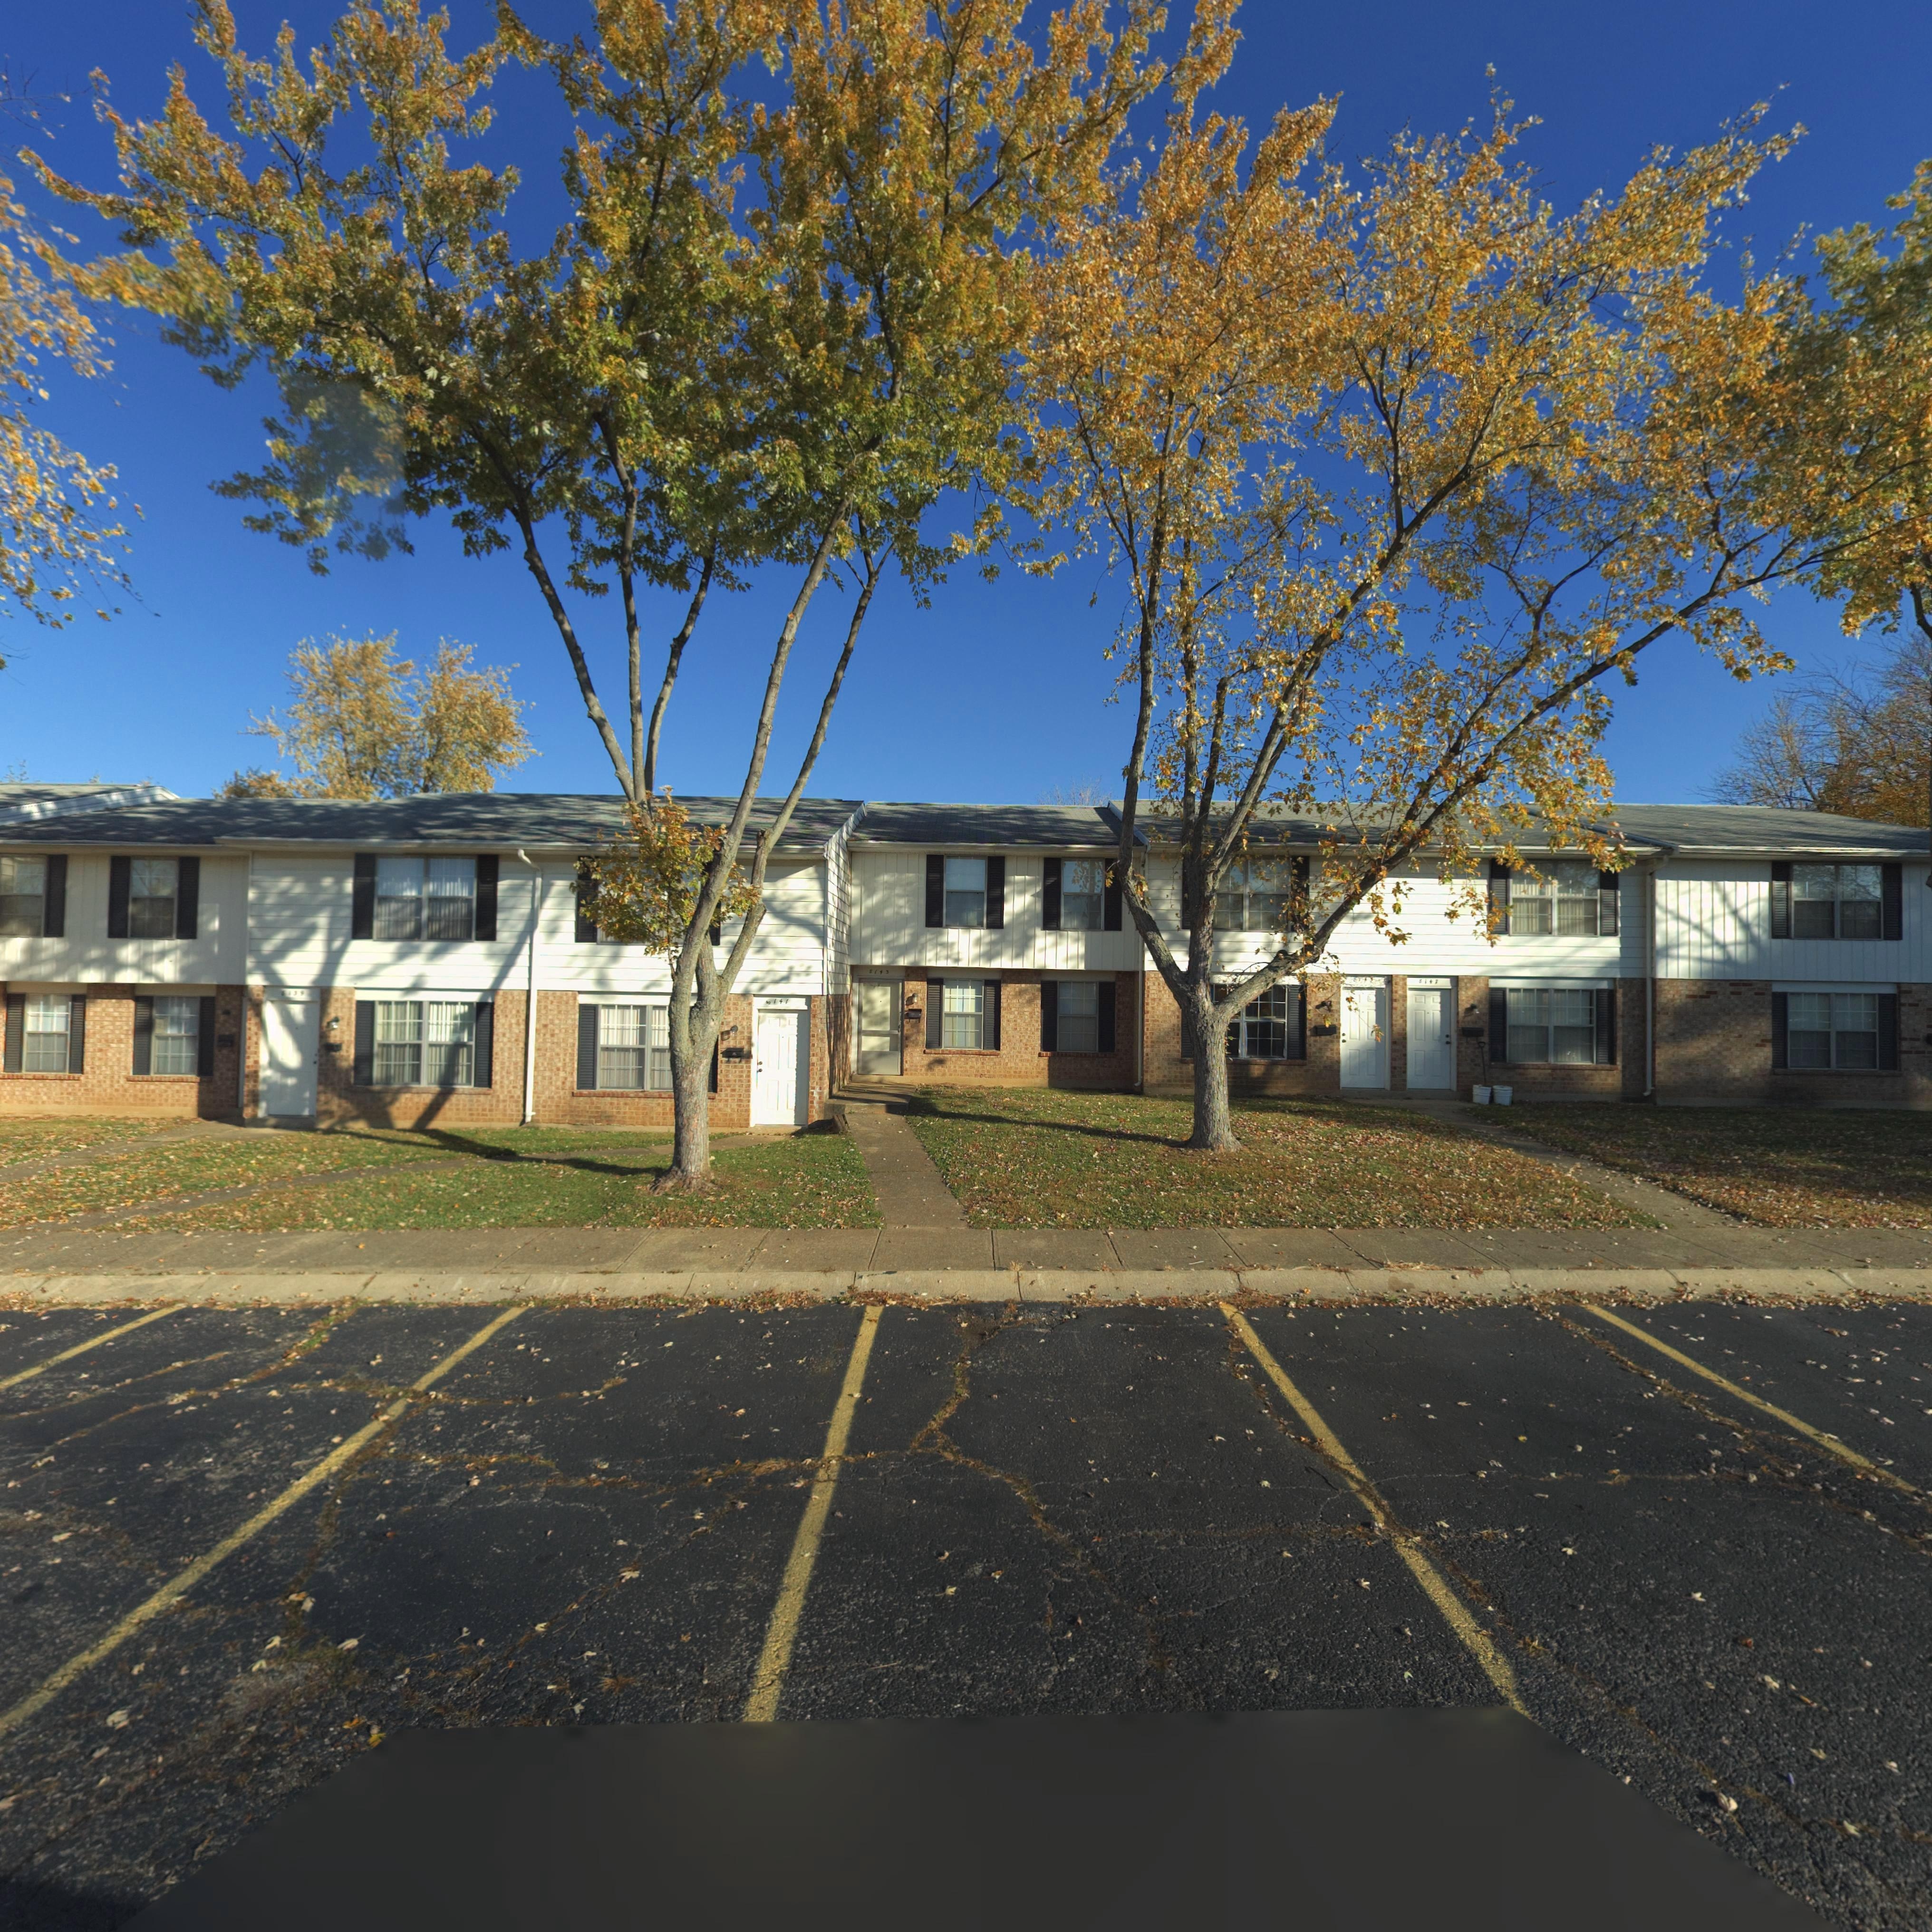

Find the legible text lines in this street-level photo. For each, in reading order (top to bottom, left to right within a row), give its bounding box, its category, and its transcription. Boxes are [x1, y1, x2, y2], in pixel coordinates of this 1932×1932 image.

[868, 968, 890, 976] StreetNumber: *14*
[1418, 978, 1439, 985] StreetNumber: 8147
[280, 989, 306, 998] StreetNumber: *139
[764, 997, 790, 1005] StreetNumber: 8141